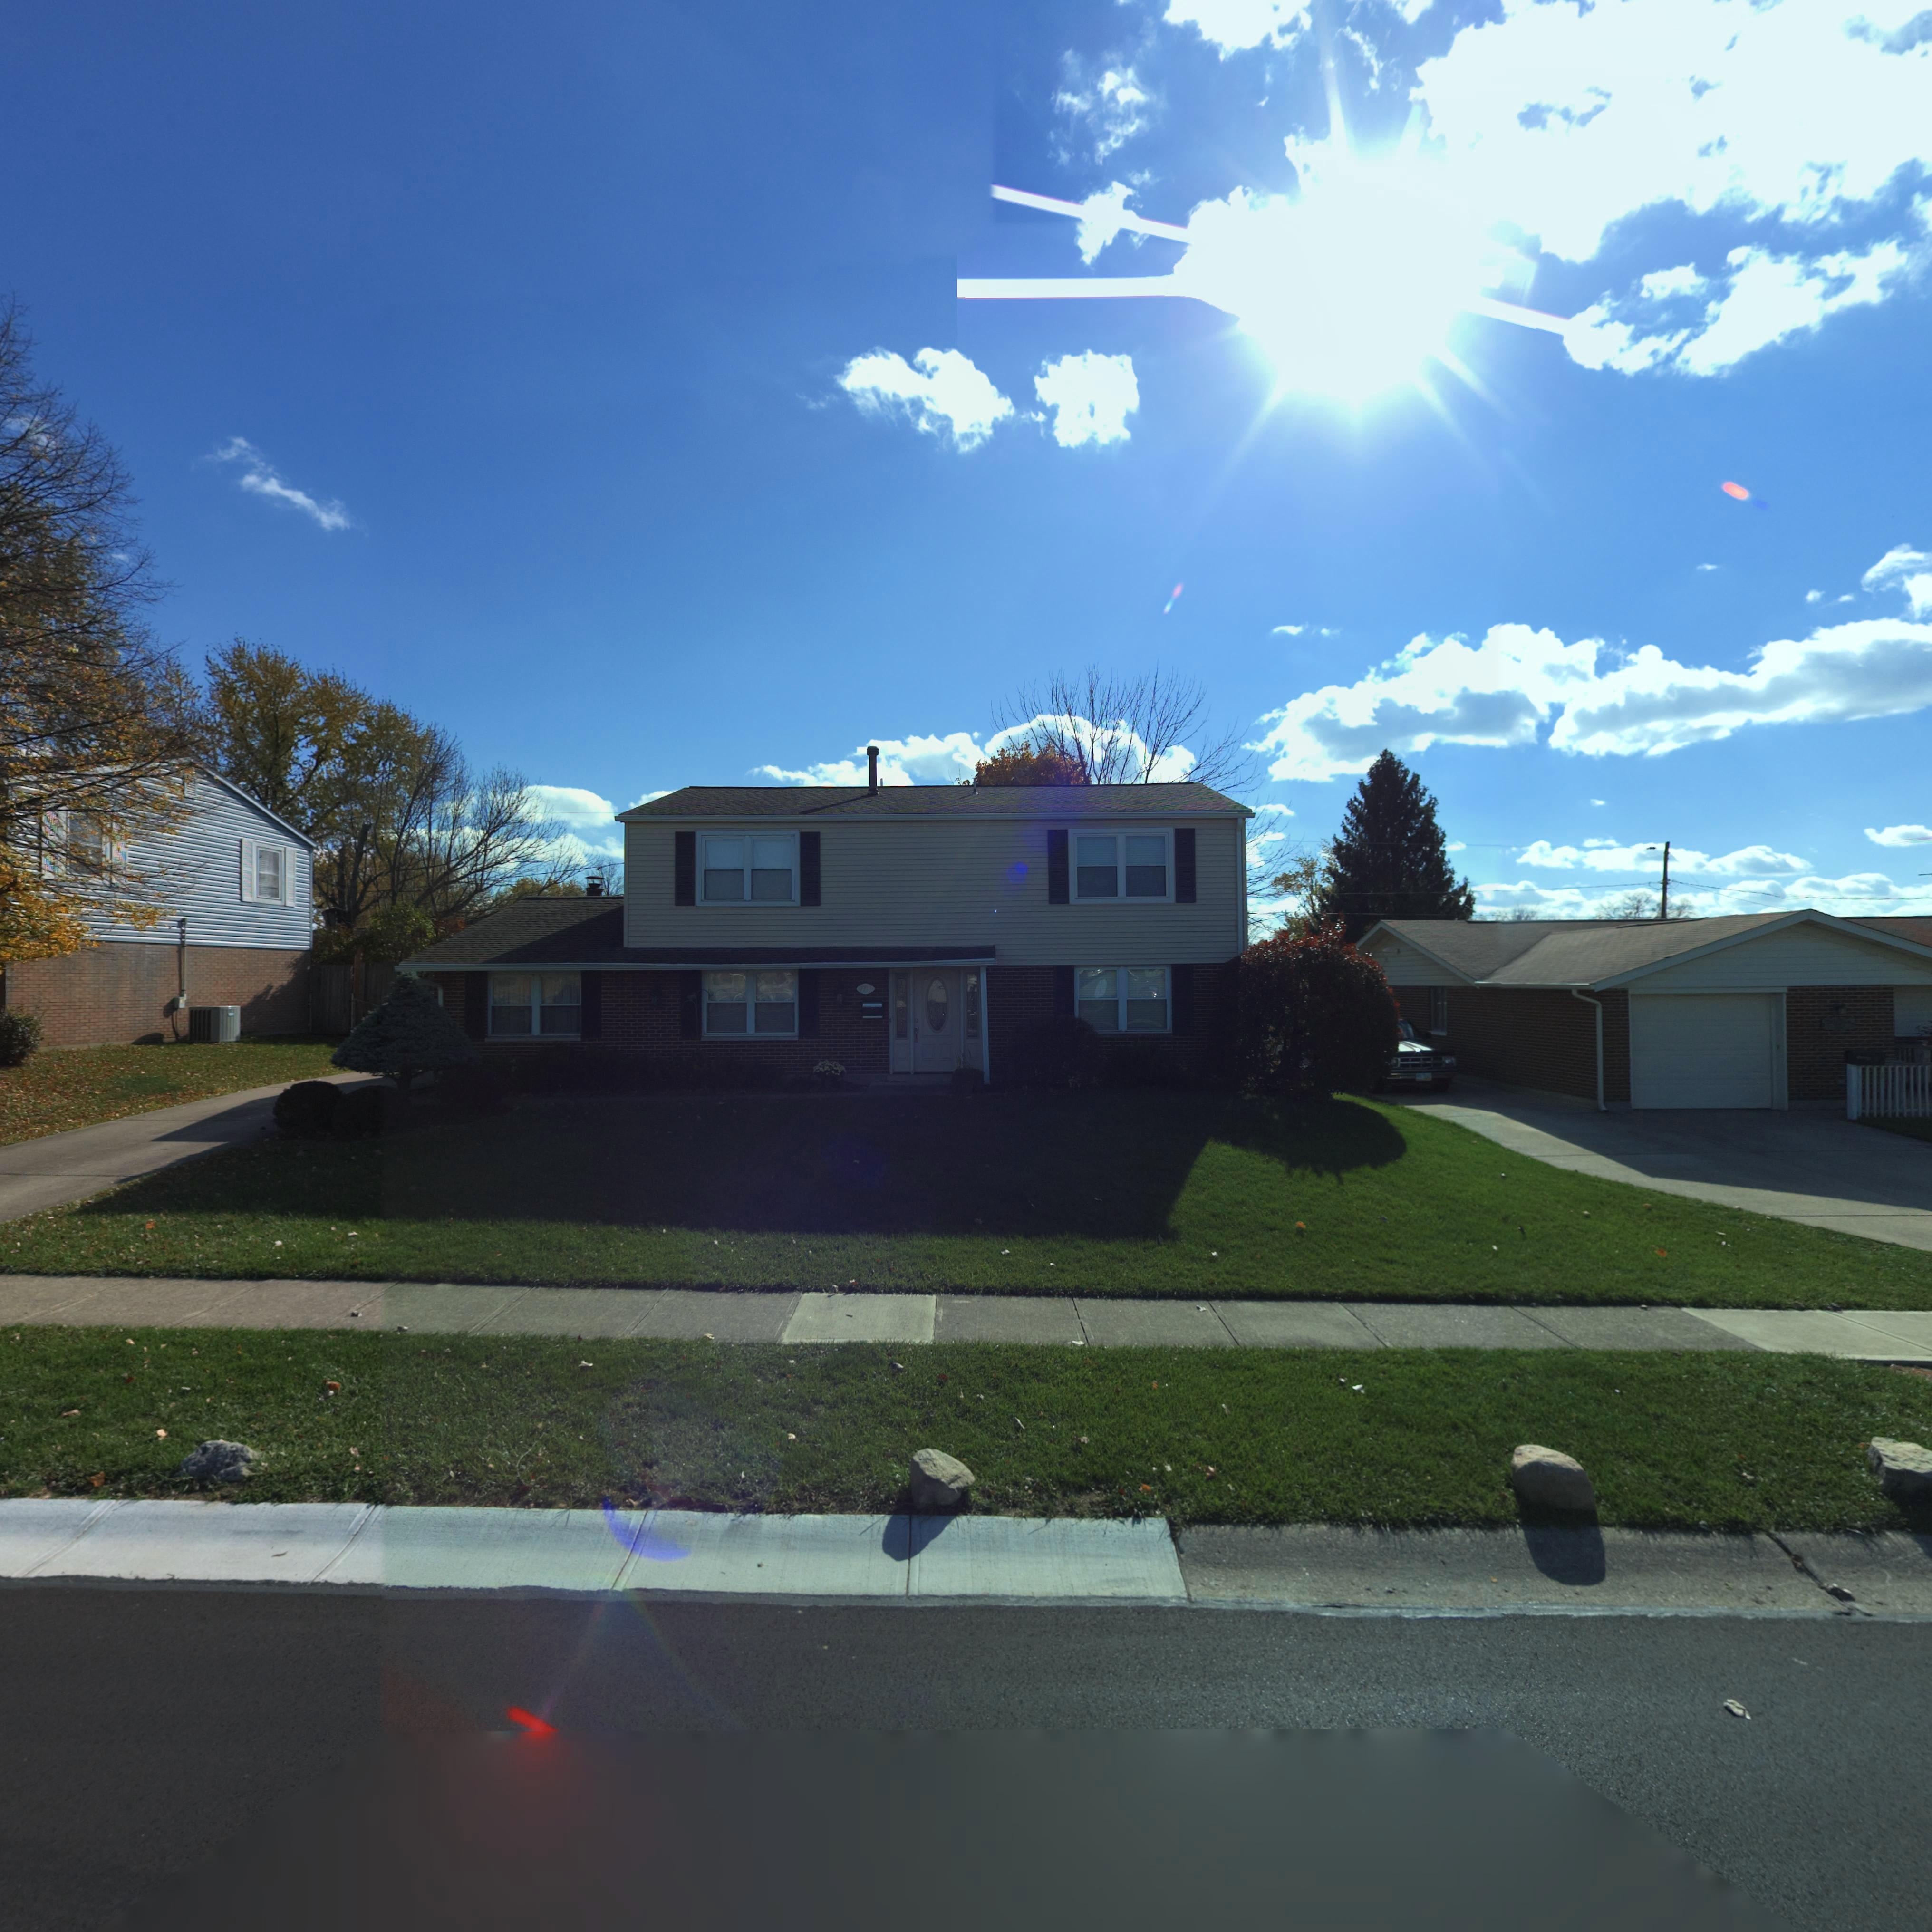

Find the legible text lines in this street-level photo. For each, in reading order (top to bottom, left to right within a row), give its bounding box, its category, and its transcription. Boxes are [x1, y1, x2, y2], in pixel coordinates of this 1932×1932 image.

[859, 985, 871, 992] StreetNumber: 77**